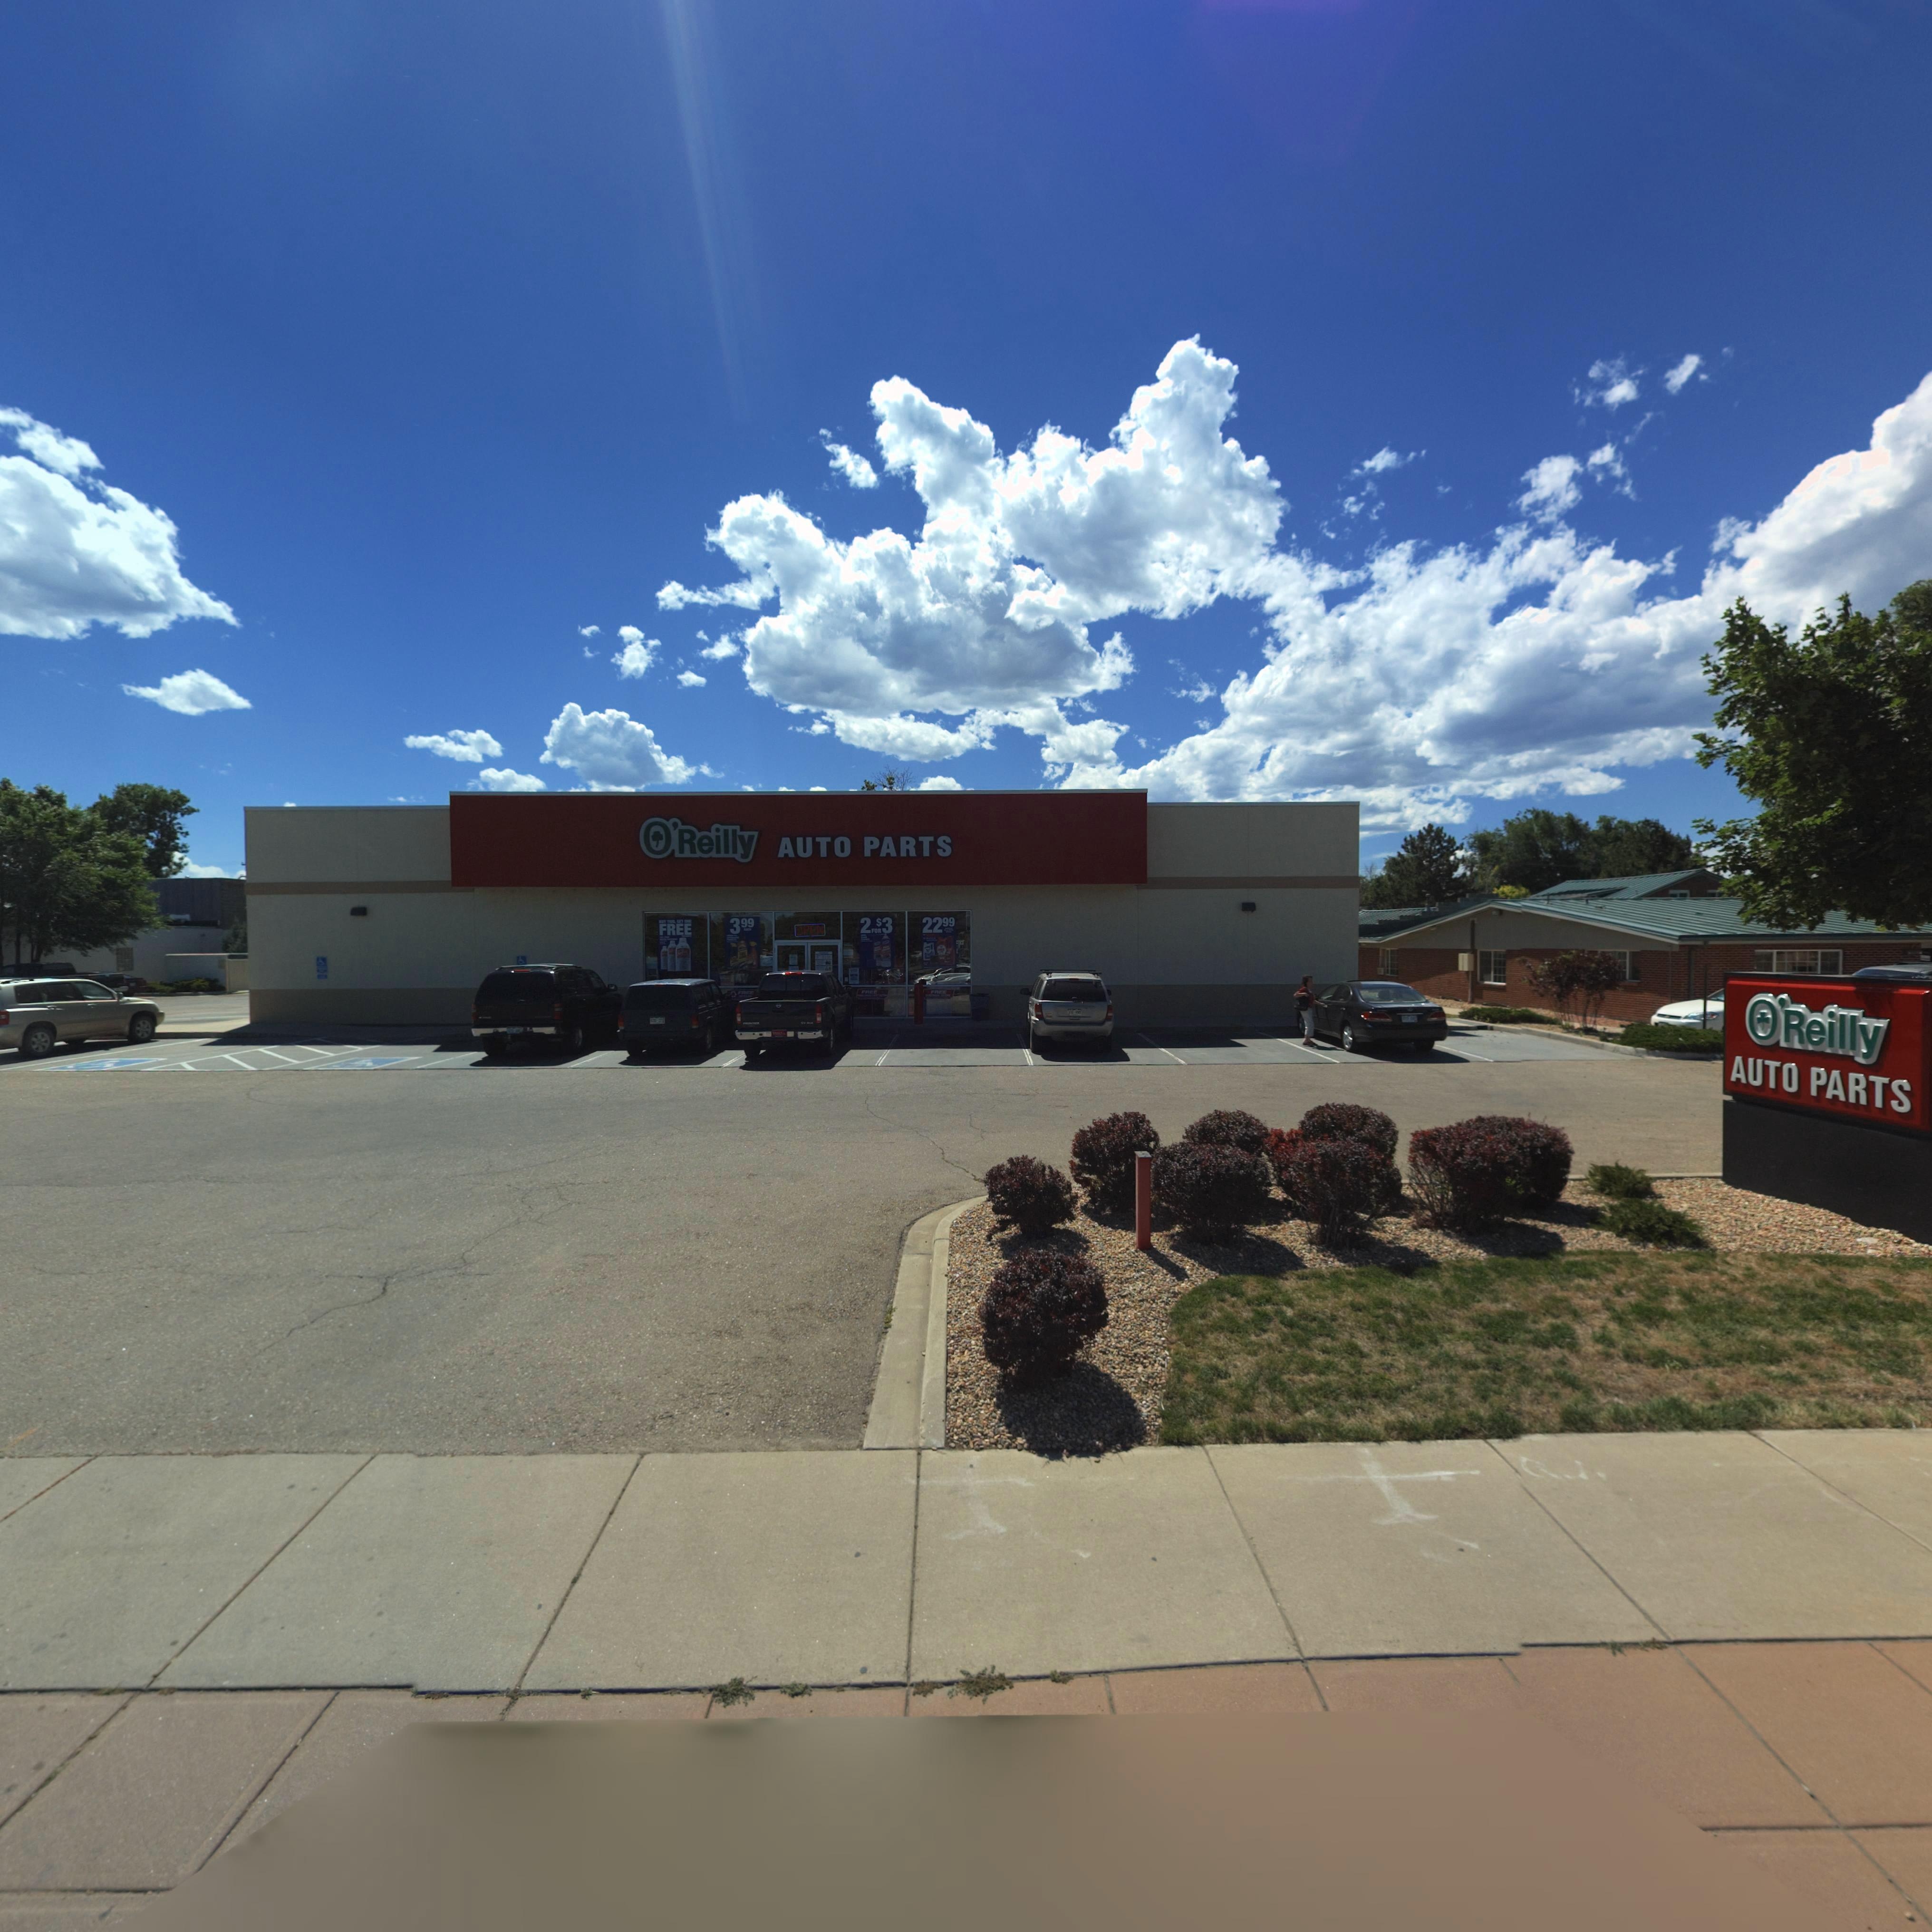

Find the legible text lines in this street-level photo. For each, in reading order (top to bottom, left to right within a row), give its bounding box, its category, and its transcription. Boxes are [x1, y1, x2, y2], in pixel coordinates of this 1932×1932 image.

[642, 819, 755, 860] BusinessName: O'Reilly
[777, 835, 952, 857] BusinessName: AUTO PARTS
[1748, 996, 1884, 1060] BusinessName: O'Reilly
[1731, 1055, 1912, 1115] BusinessName: AUTO PARTS